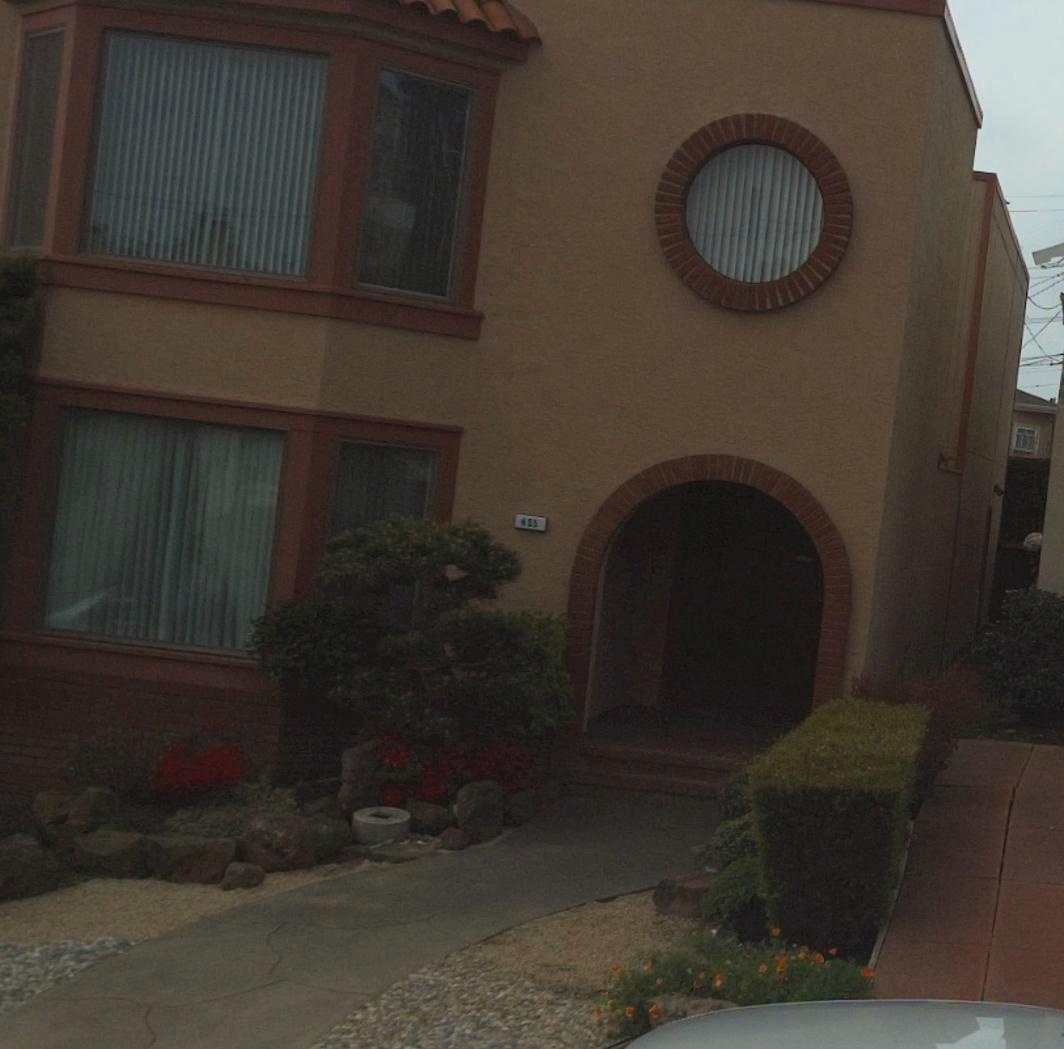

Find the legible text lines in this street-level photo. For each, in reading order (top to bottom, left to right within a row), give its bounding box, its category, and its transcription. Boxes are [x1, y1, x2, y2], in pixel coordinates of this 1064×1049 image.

[520, 516, 540, 528] StreetNumber: 455